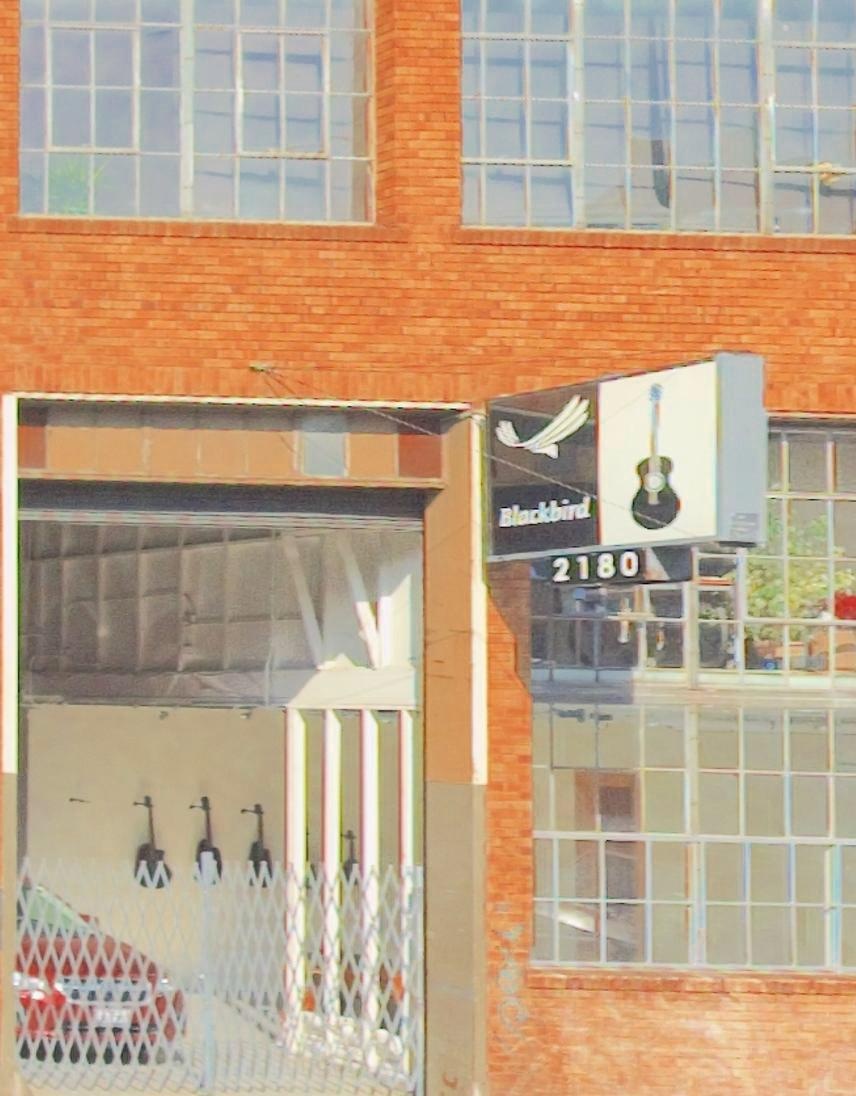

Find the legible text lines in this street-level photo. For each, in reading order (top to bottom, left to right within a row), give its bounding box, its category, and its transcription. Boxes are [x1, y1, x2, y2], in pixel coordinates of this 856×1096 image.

[497, 492, 593, 528] BusinessName: Blackbird
[550, 549, 640, 583] StreetNumber: 2180